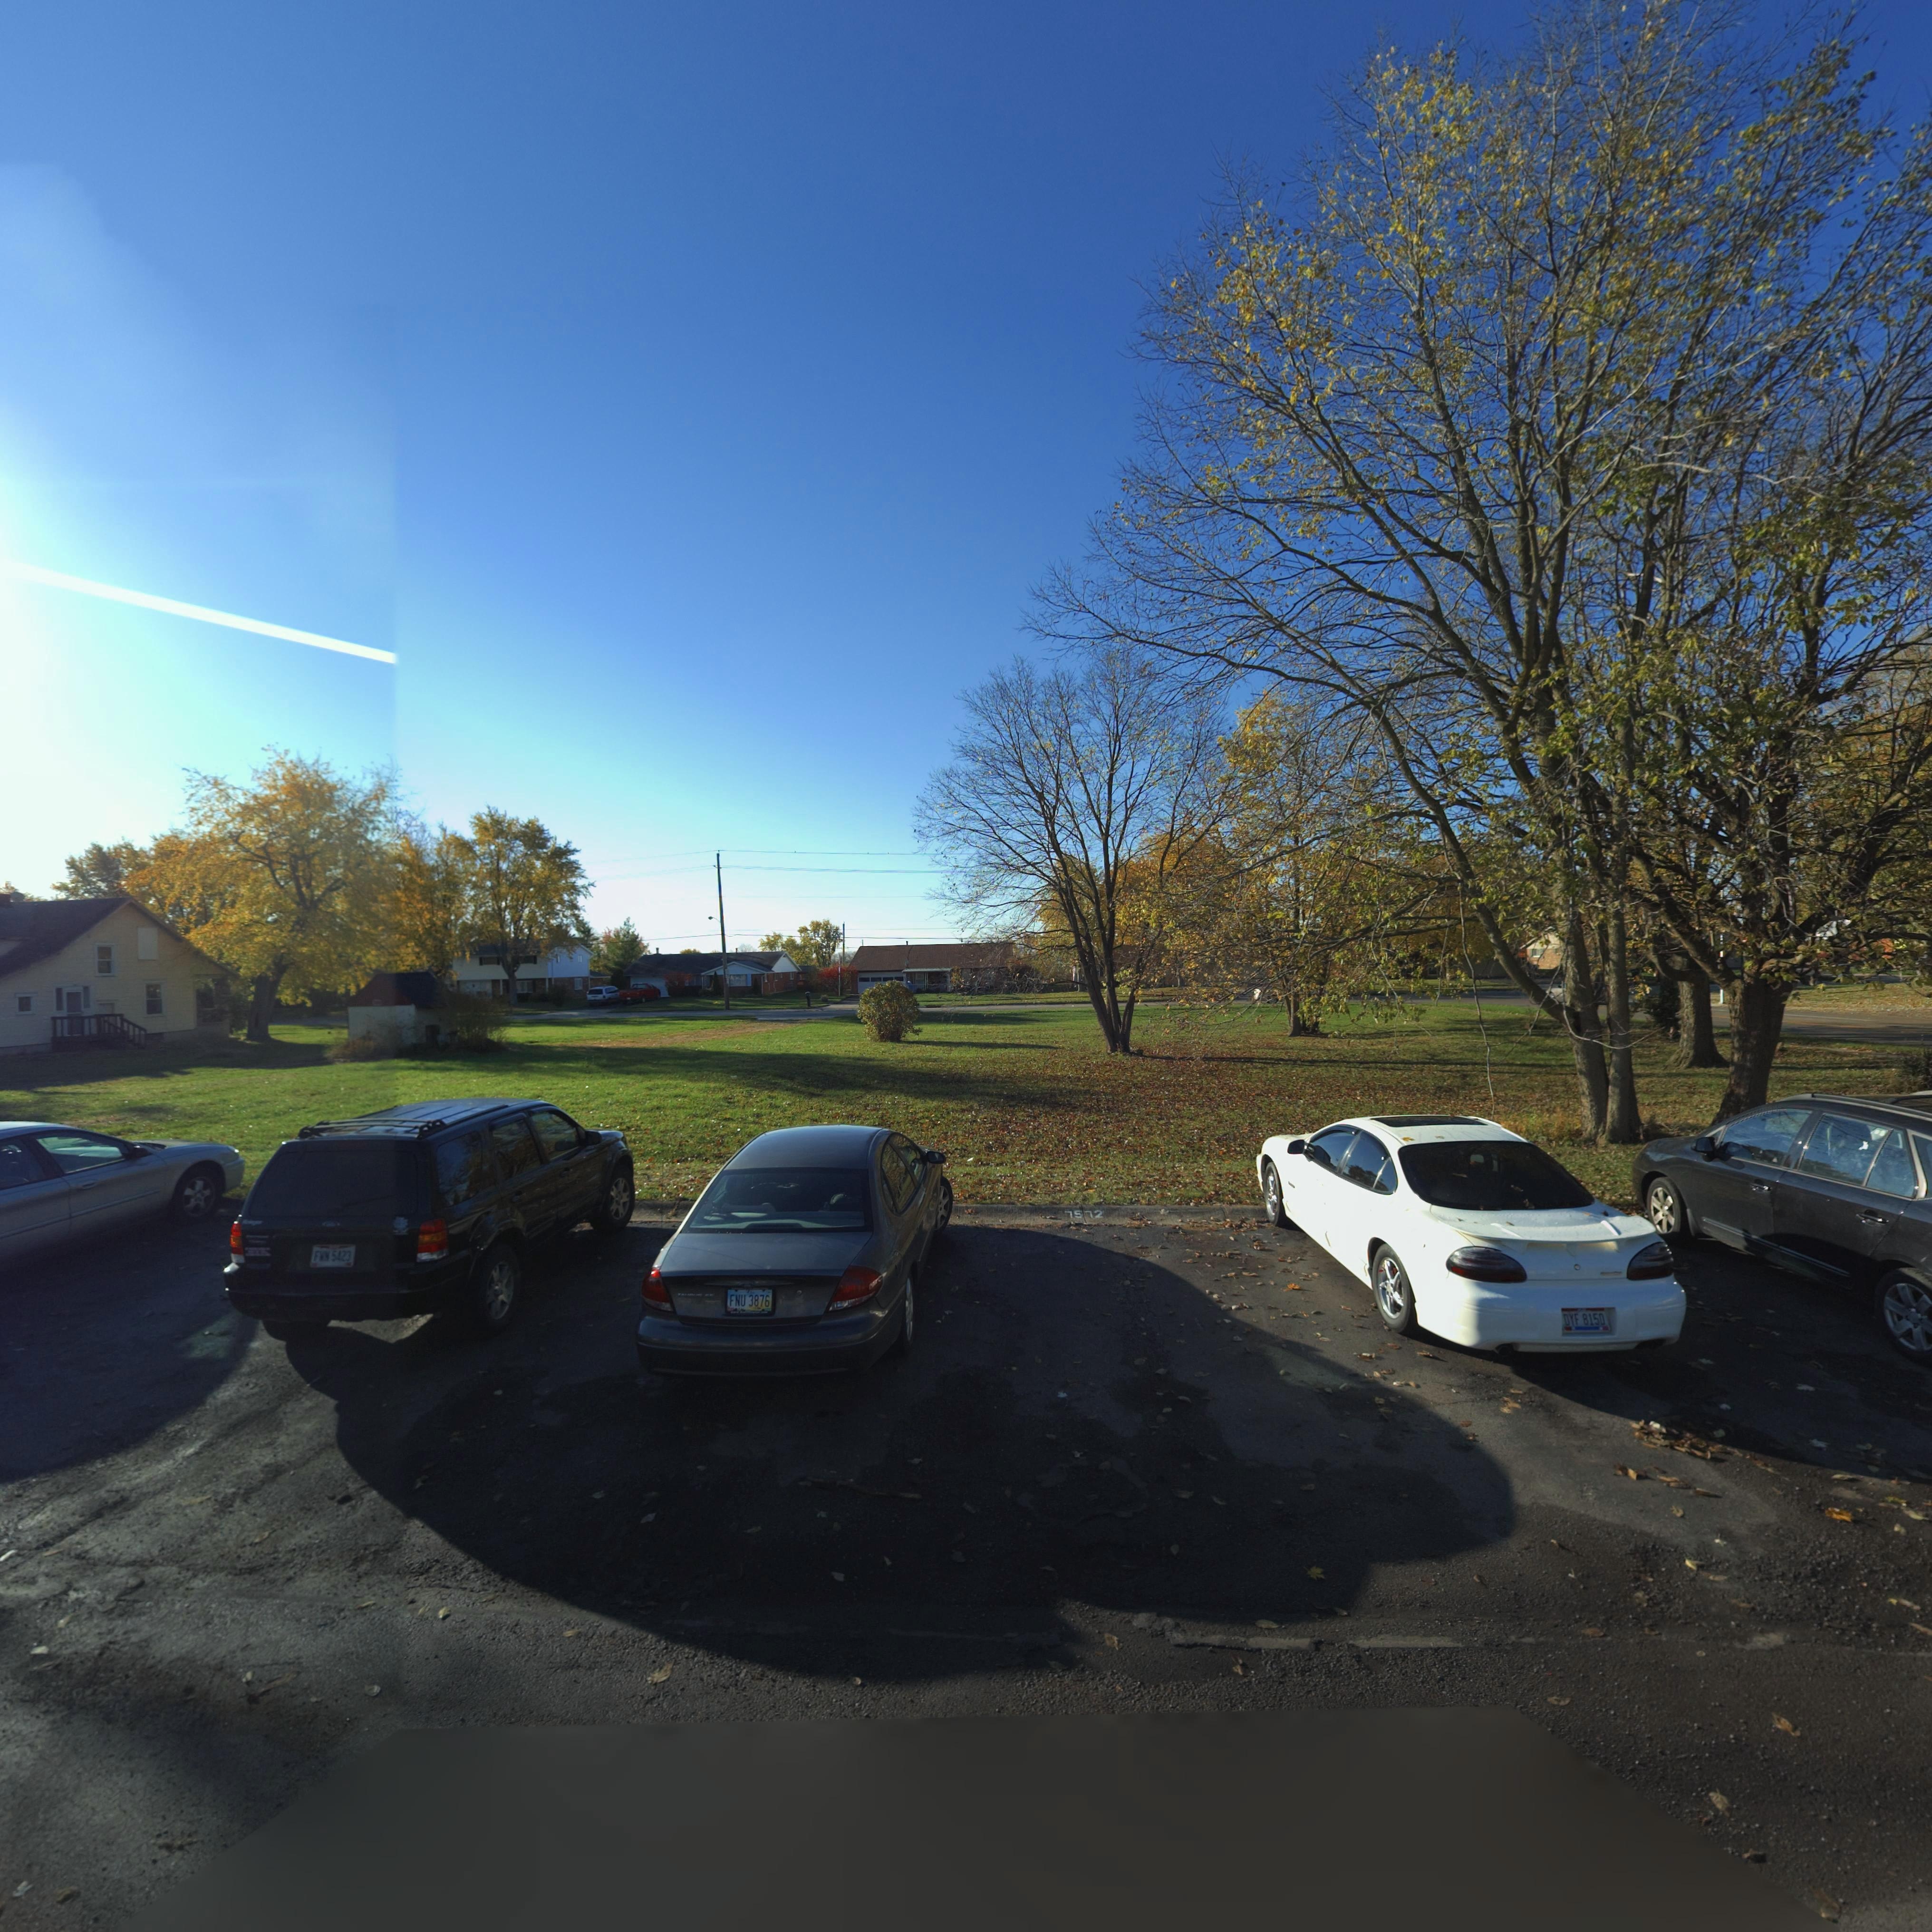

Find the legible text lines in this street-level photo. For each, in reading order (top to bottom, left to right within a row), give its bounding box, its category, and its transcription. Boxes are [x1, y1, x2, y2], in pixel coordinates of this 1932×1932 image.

[1063, 1208, 1105, 1220] StreetNumber: 7572
[312, 1247, 352, 1263] None: F** 5423
[730, 1293, 770, 1308] None: FNU 3876
[1562, 1313, 1607, 1328] None: DYF 8150